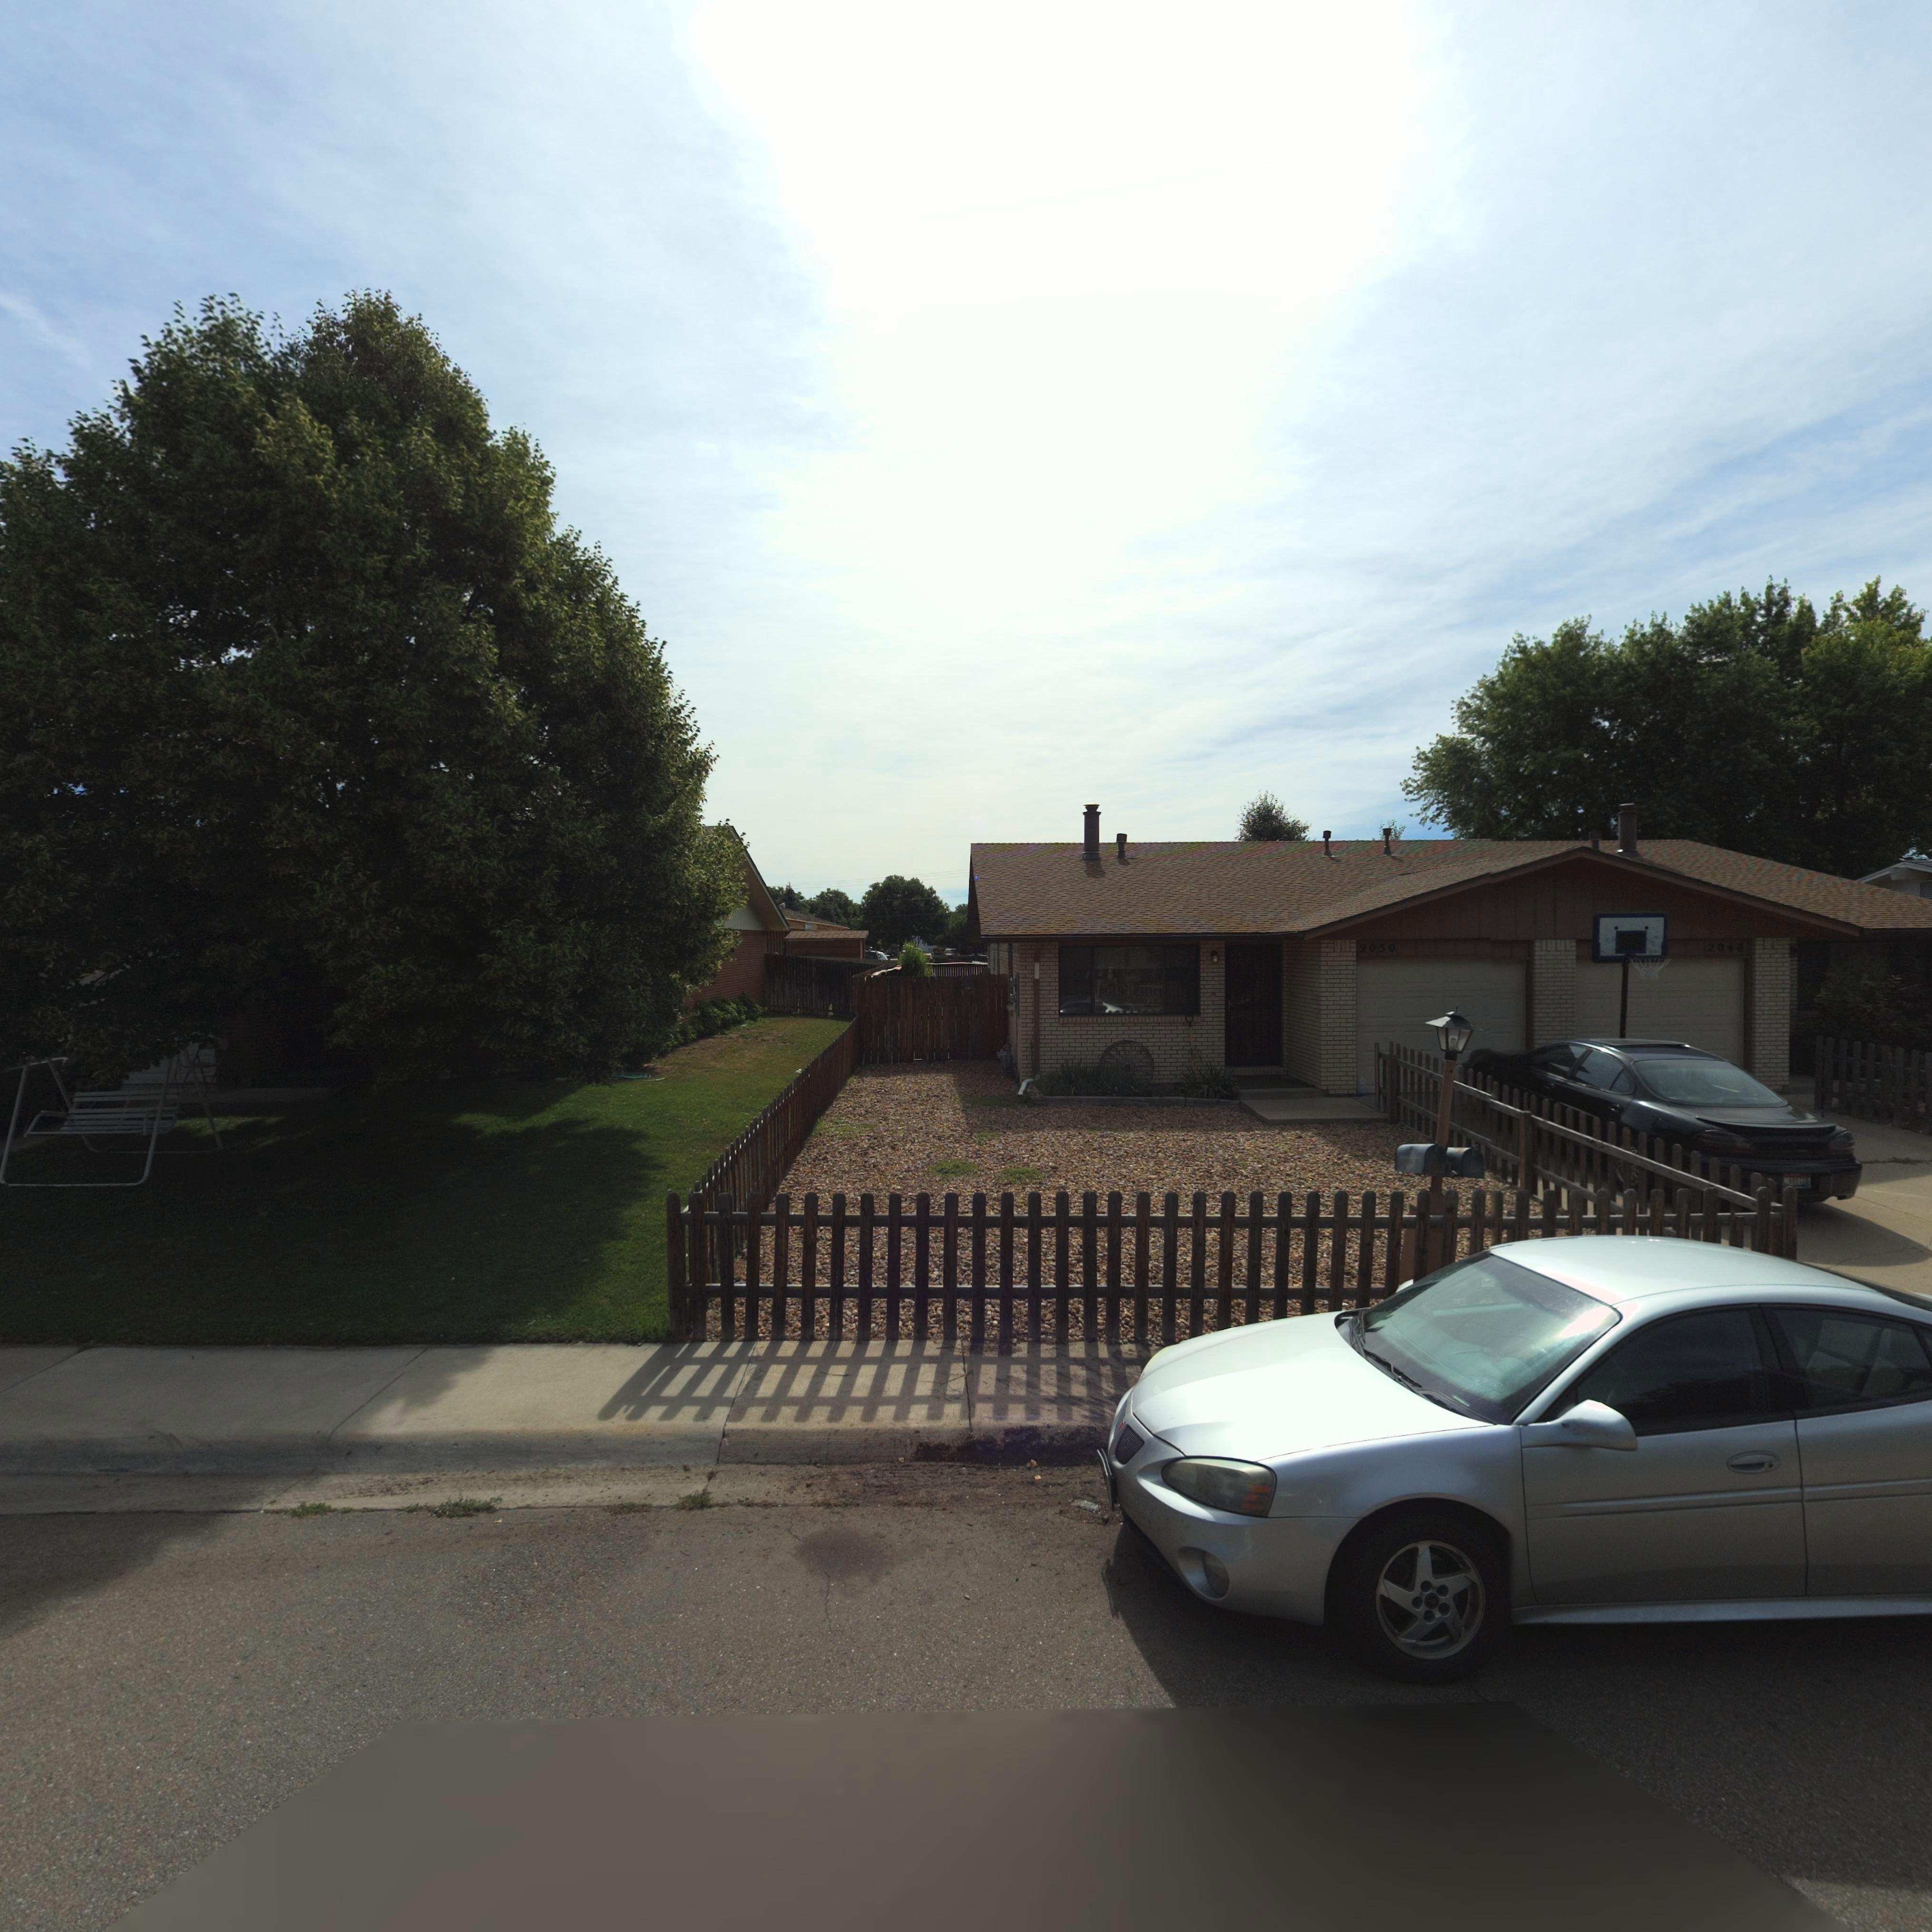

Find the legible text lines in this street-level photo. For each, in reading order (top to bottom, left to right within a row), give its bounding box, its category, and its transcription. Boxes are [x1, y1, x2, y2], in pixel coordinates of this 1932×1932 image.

[1359, 943, 1395, 953] StreetNumber: 2050
[1706, 941, 1745, 952] StreetNumber: 2048